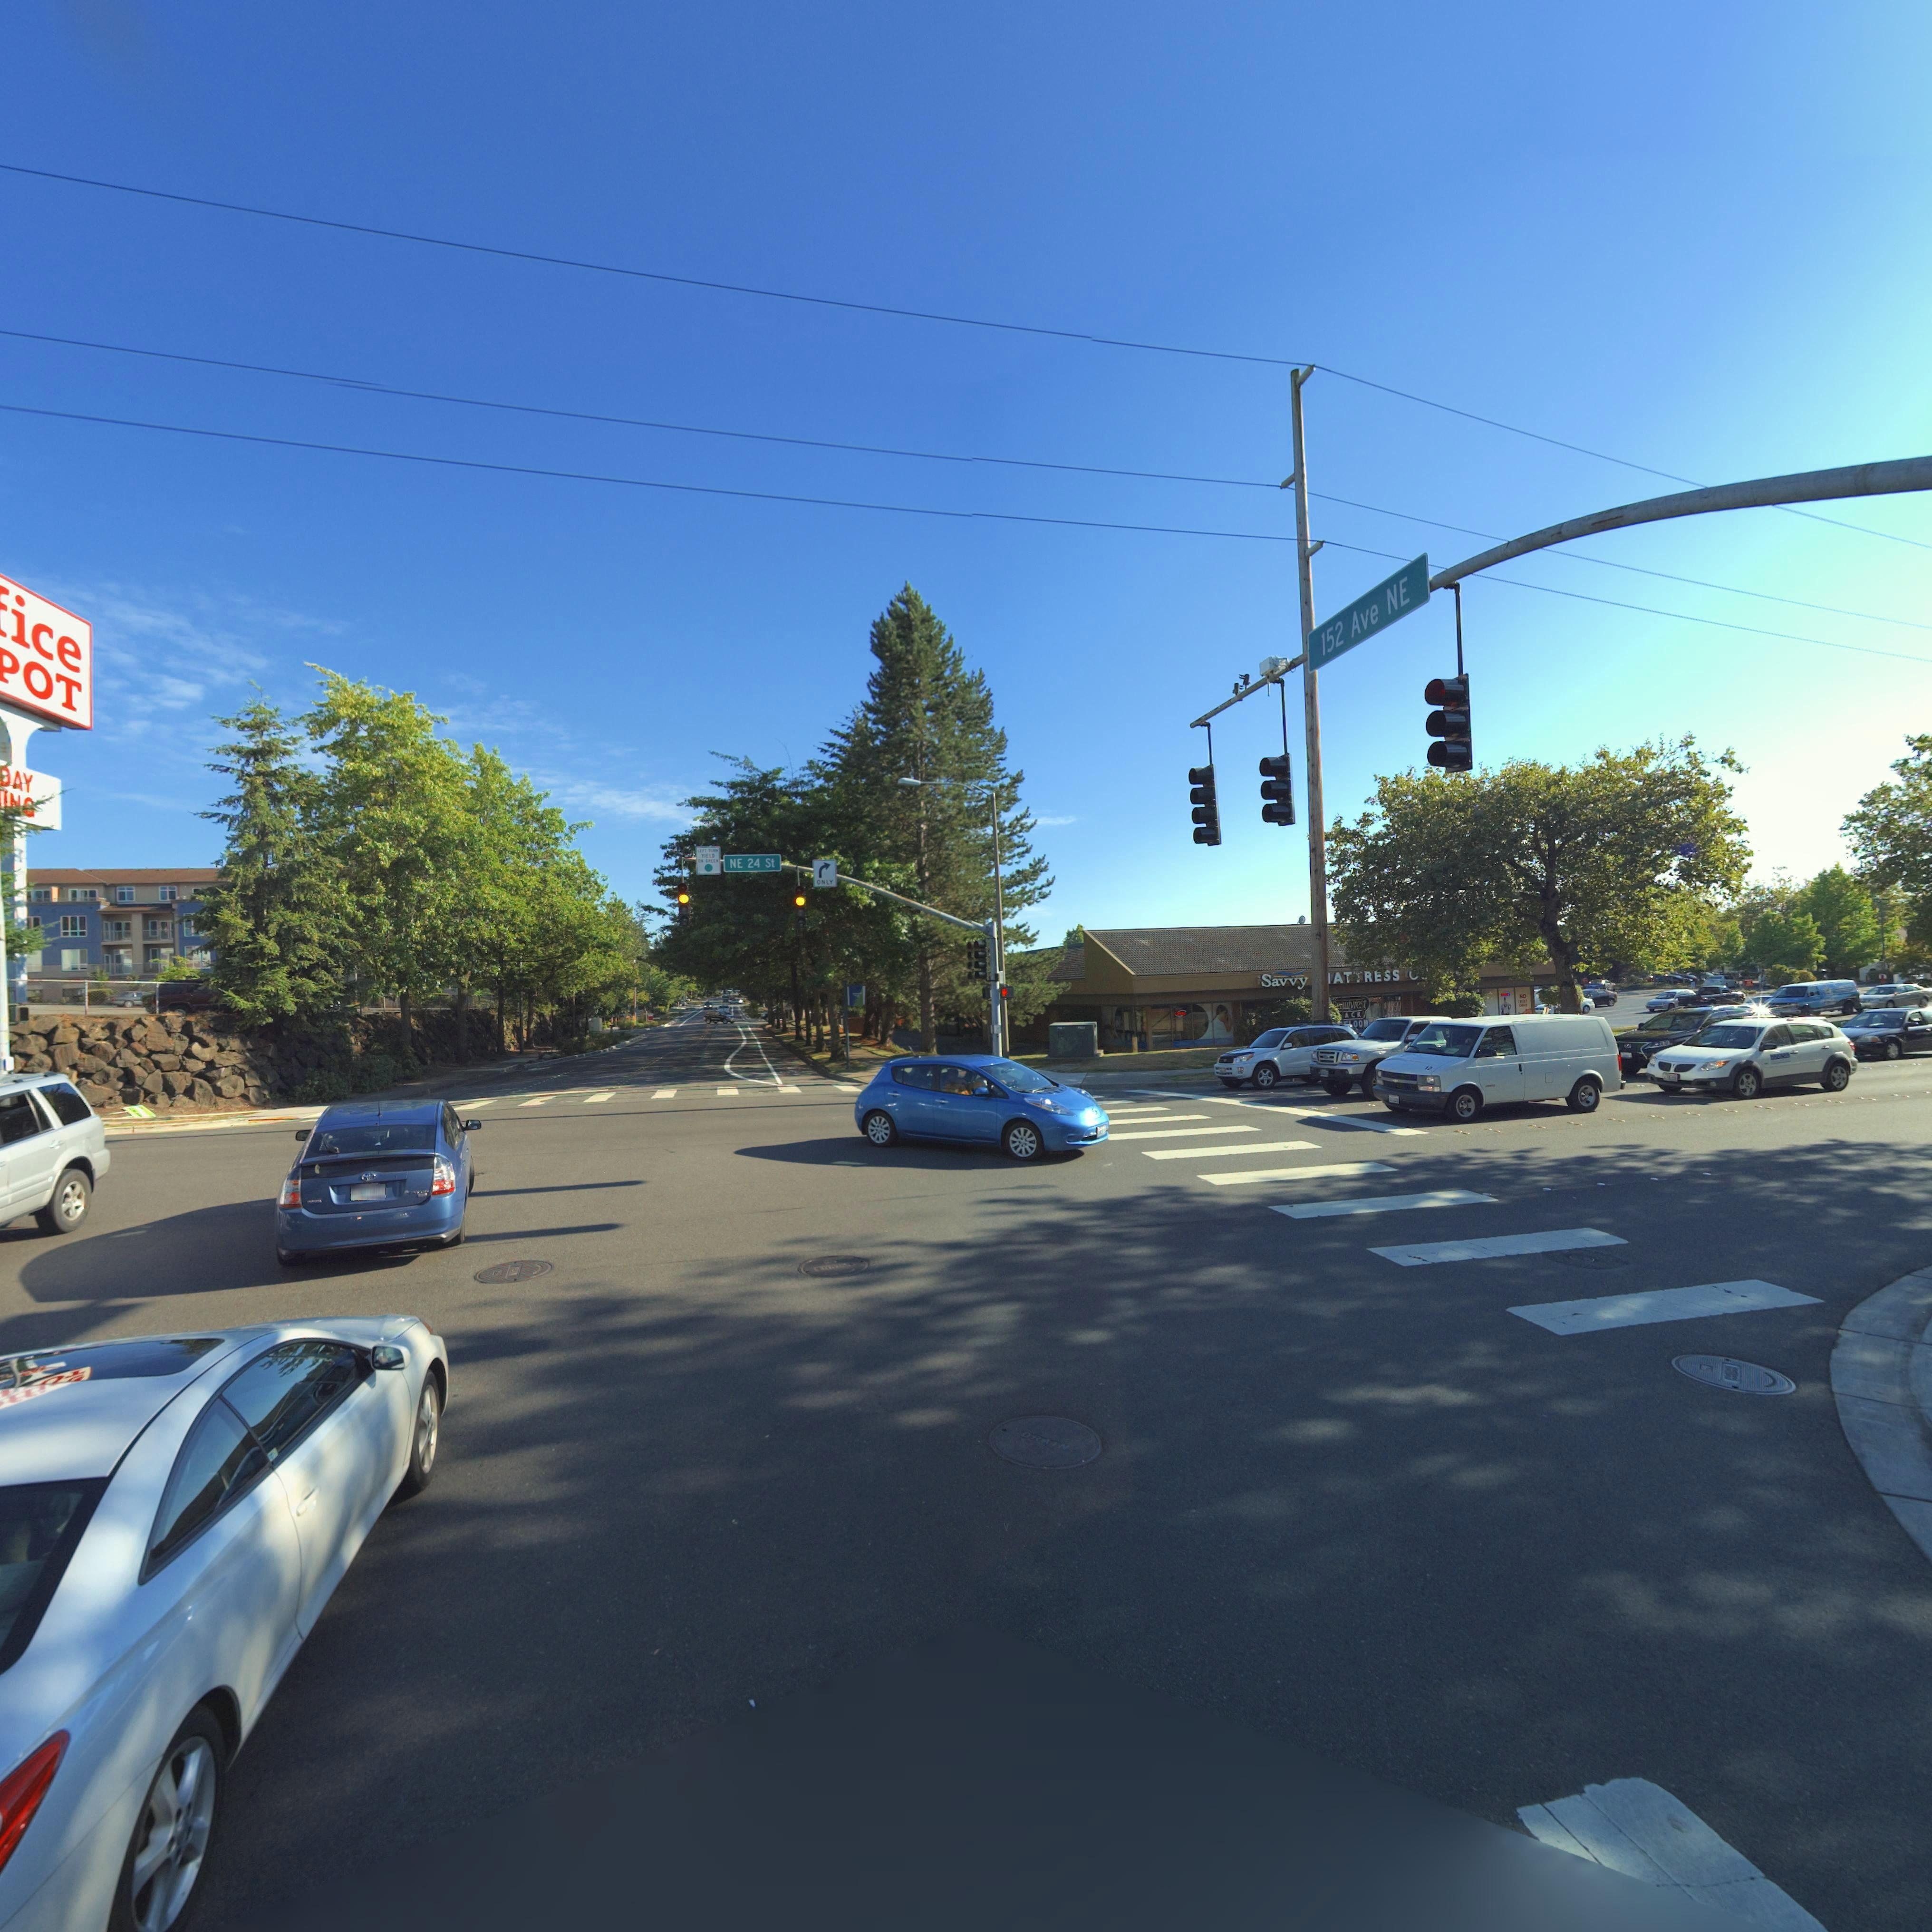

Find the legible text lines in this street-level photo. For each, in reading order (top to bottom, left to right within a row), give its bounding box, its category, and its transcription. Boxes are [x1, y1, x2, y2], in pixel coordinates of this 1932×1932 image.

[1313, 572, 1414, 660] BusinessName: 152 Ave NE
[729, 858, 776, 869] None: NE 24 St
[815, 879, 834, 885] None: ONLY
[1260, 974, 1308, 987] None: Savvy